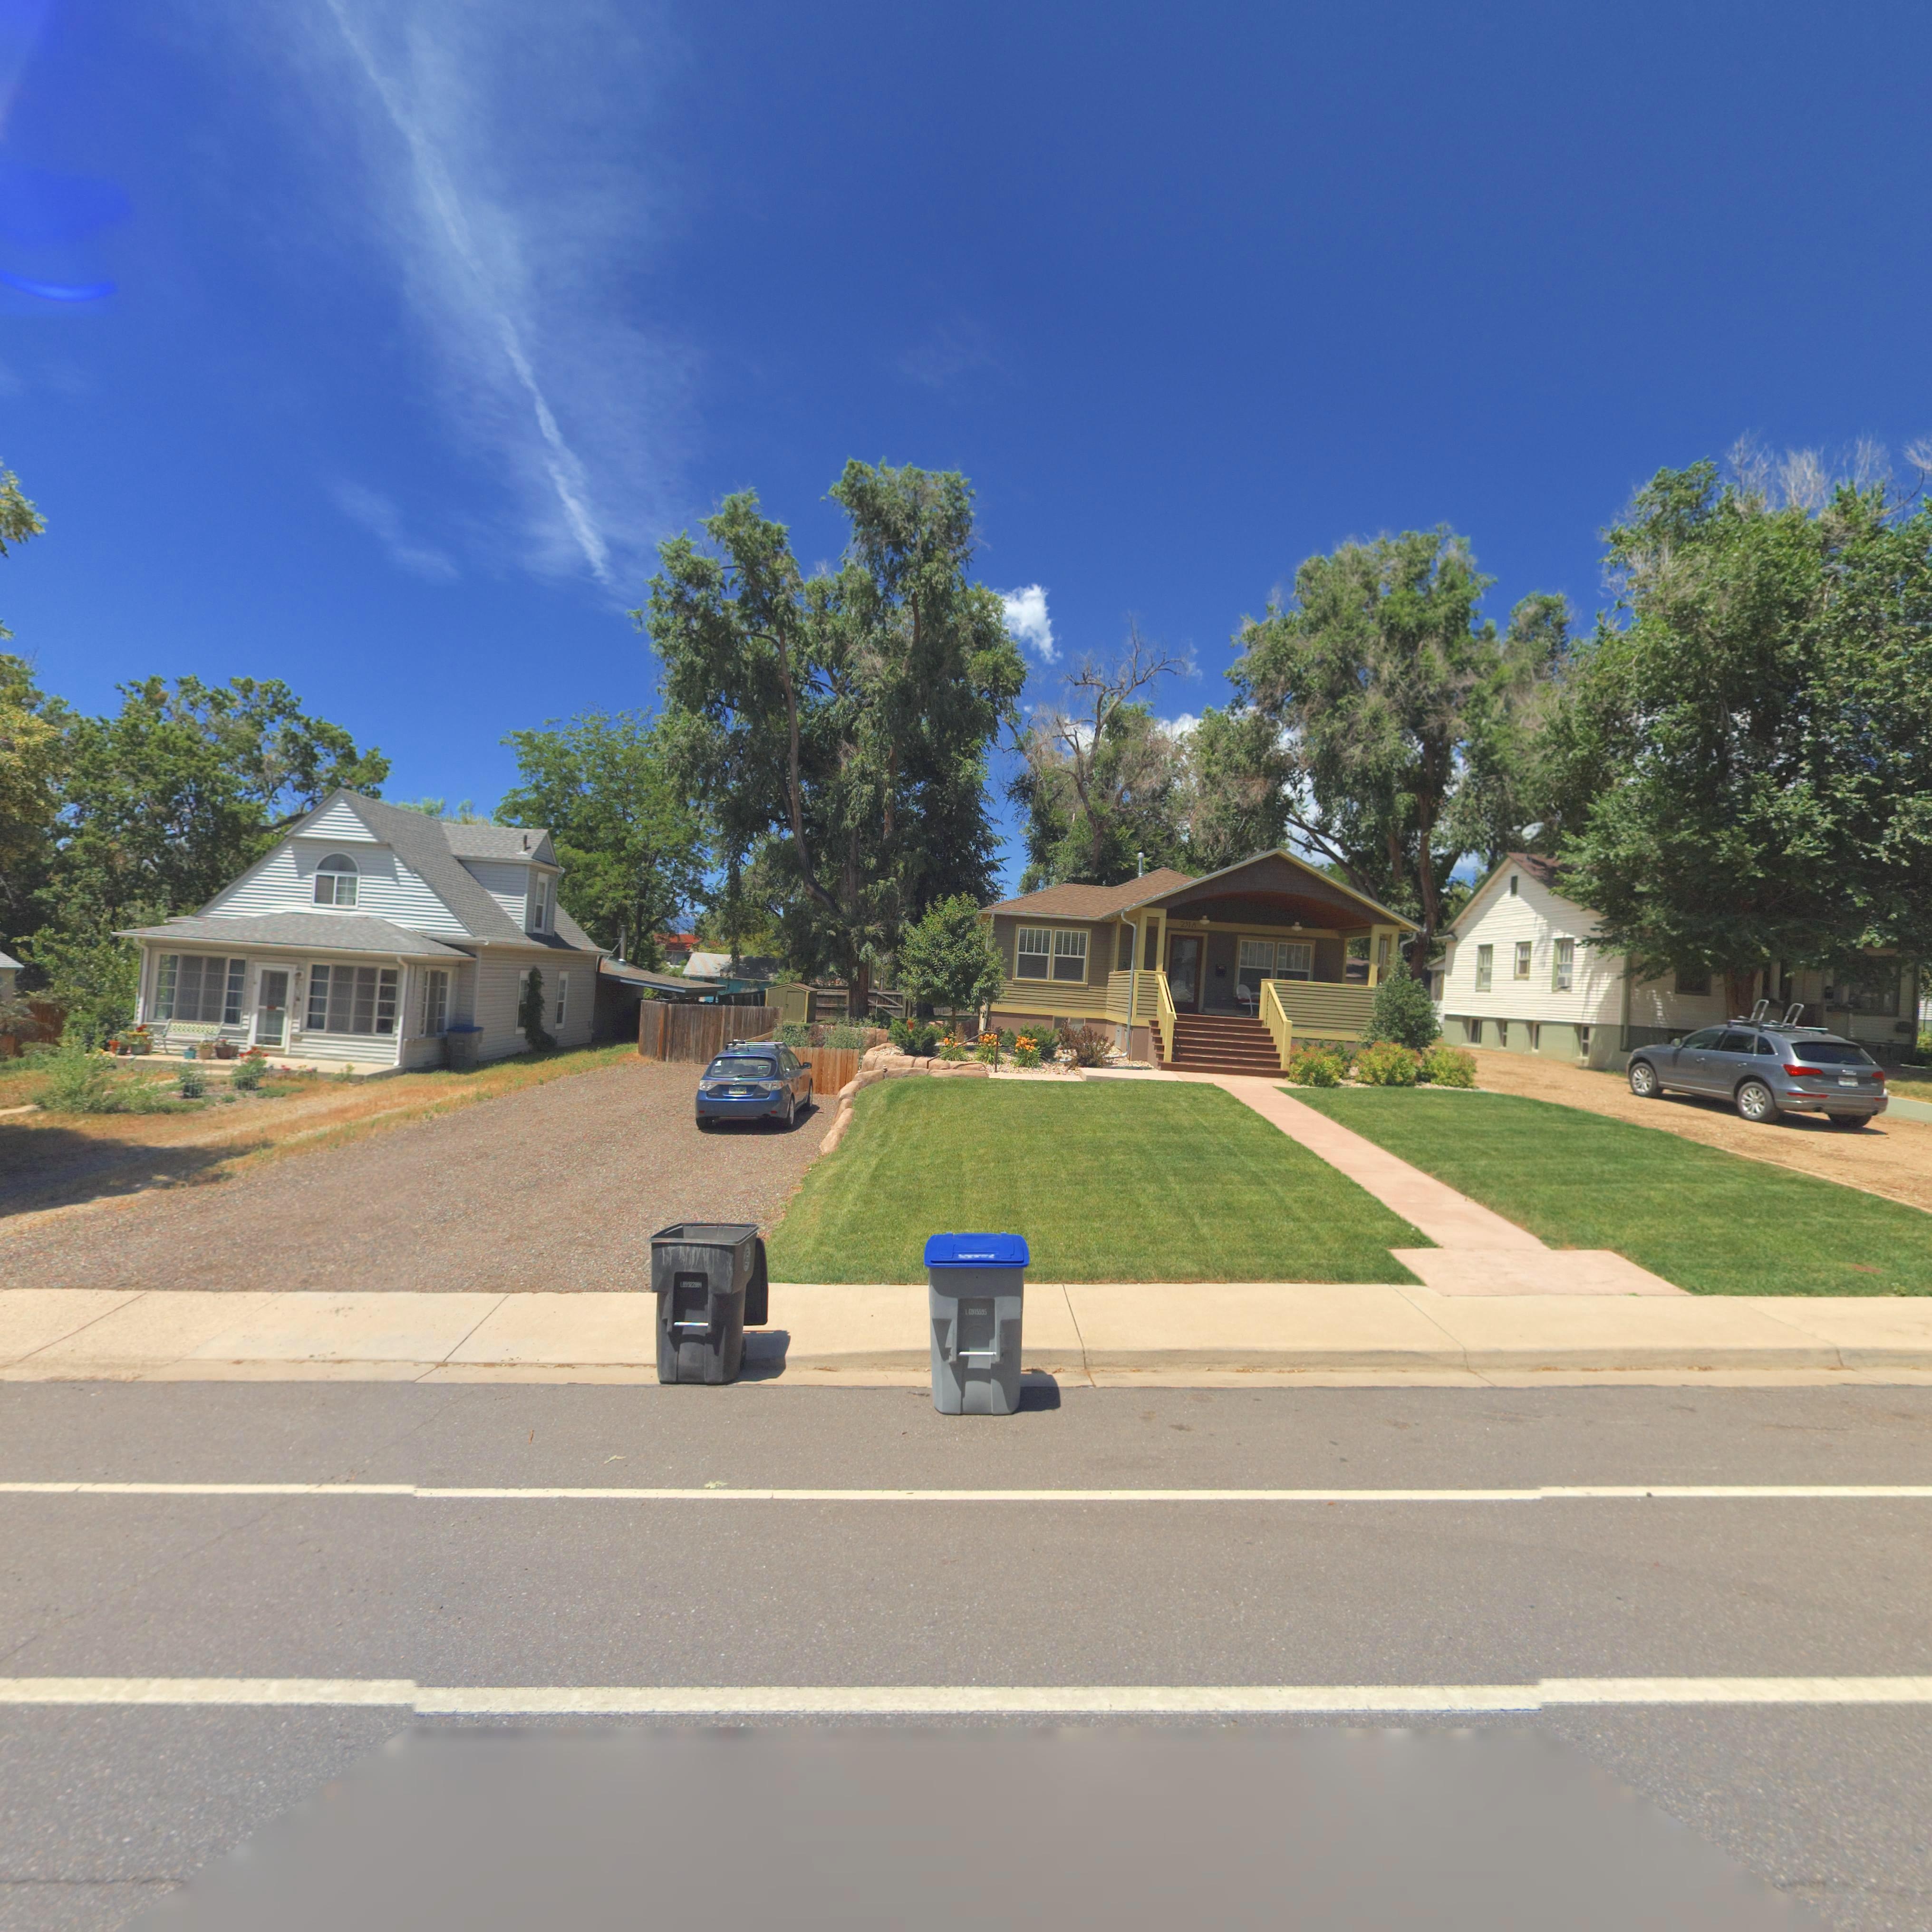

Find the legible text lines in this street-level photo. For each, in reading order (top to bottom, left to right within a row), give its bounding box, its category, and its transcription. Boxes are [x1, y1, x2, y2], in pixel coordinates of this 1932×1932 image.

[1179, 920, 1197, 929] StreetNumber: 2318